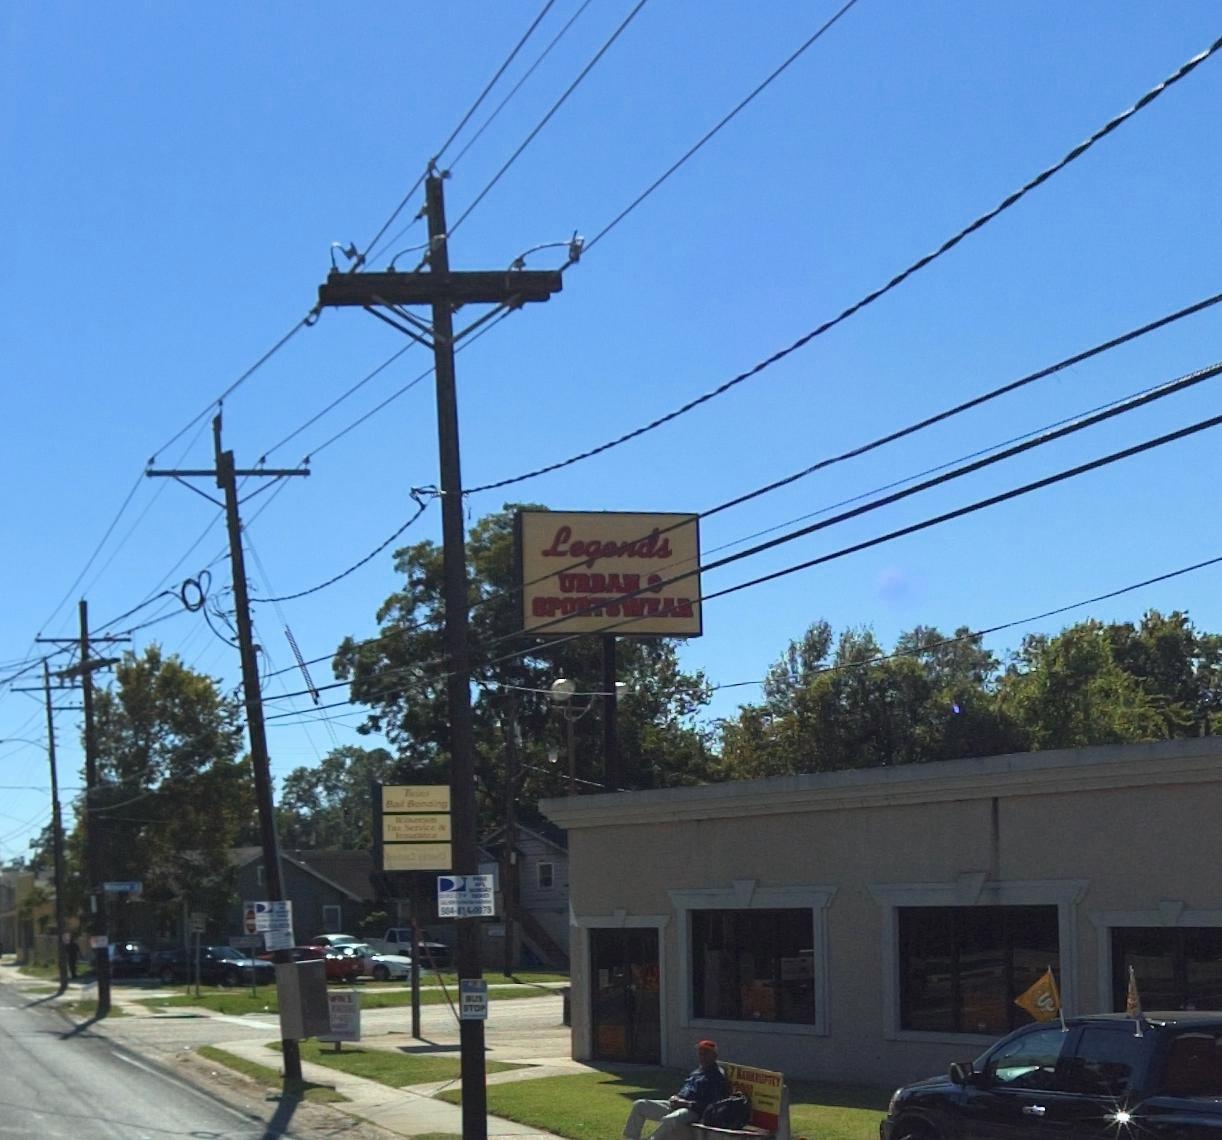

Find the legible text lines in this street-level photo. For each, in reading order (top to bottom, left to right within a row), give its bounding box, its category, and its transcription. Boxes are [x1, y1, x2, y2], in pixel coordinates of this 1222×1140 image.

[539, 522, 675, 572] BusinessName: Leg*nds
[557, 570, 647, 597] BusinessName: URBAN &
[529, 593, 696, 620] BusinessName: SPO***WE*R
[463, 993, 485, 1005] None: BUS
[462, 1003, 487, 1013] None: STOP